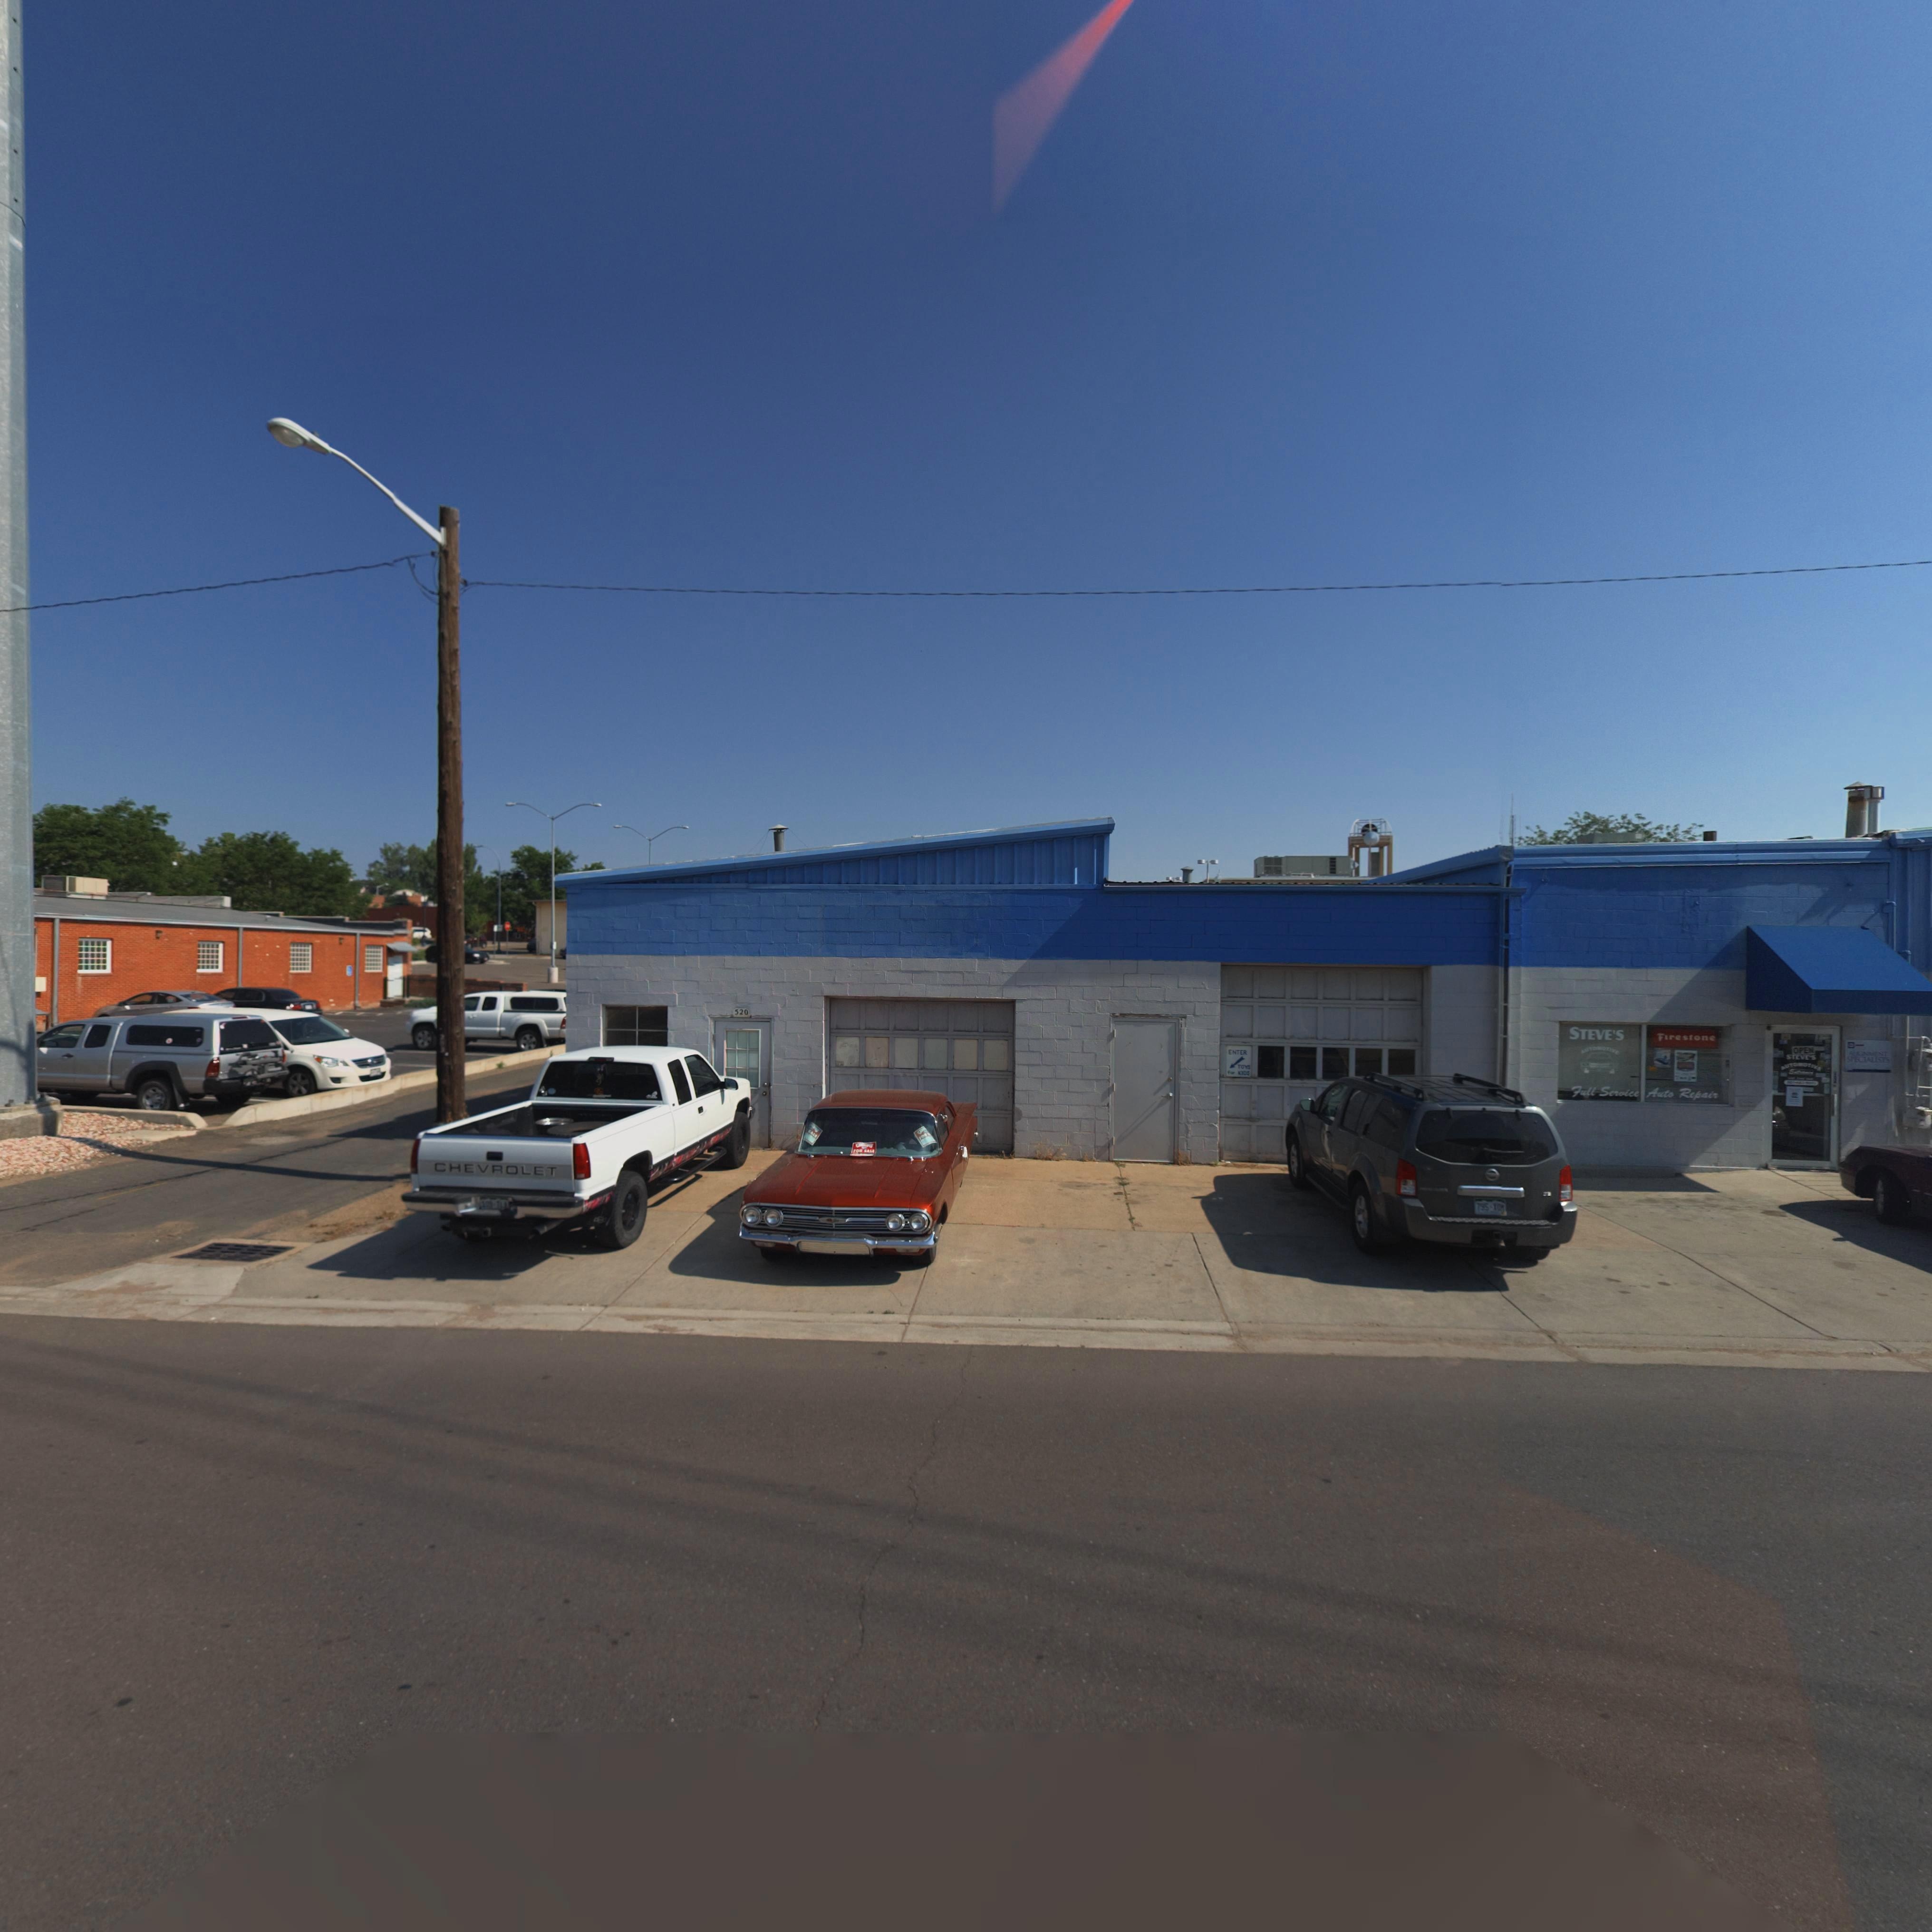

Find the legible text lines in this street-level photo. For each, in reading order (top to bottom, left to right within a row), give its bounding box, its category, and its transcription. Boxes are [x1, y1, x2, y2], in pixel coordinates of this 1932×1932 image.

[734, 1008, 748, 1015] StreetNumber: 520
[1568, 1026, 1624, 1041] BusinessName: STEVE'S
[1580, 1045, 1619, 1055] BusinessName: AUTOMOTIVE
[1786, 1053, 1817, 1060] BusinessName: STEVE'S
[1781, 1062, 1822, 1071] BusinessName: AUTOMOTIVE